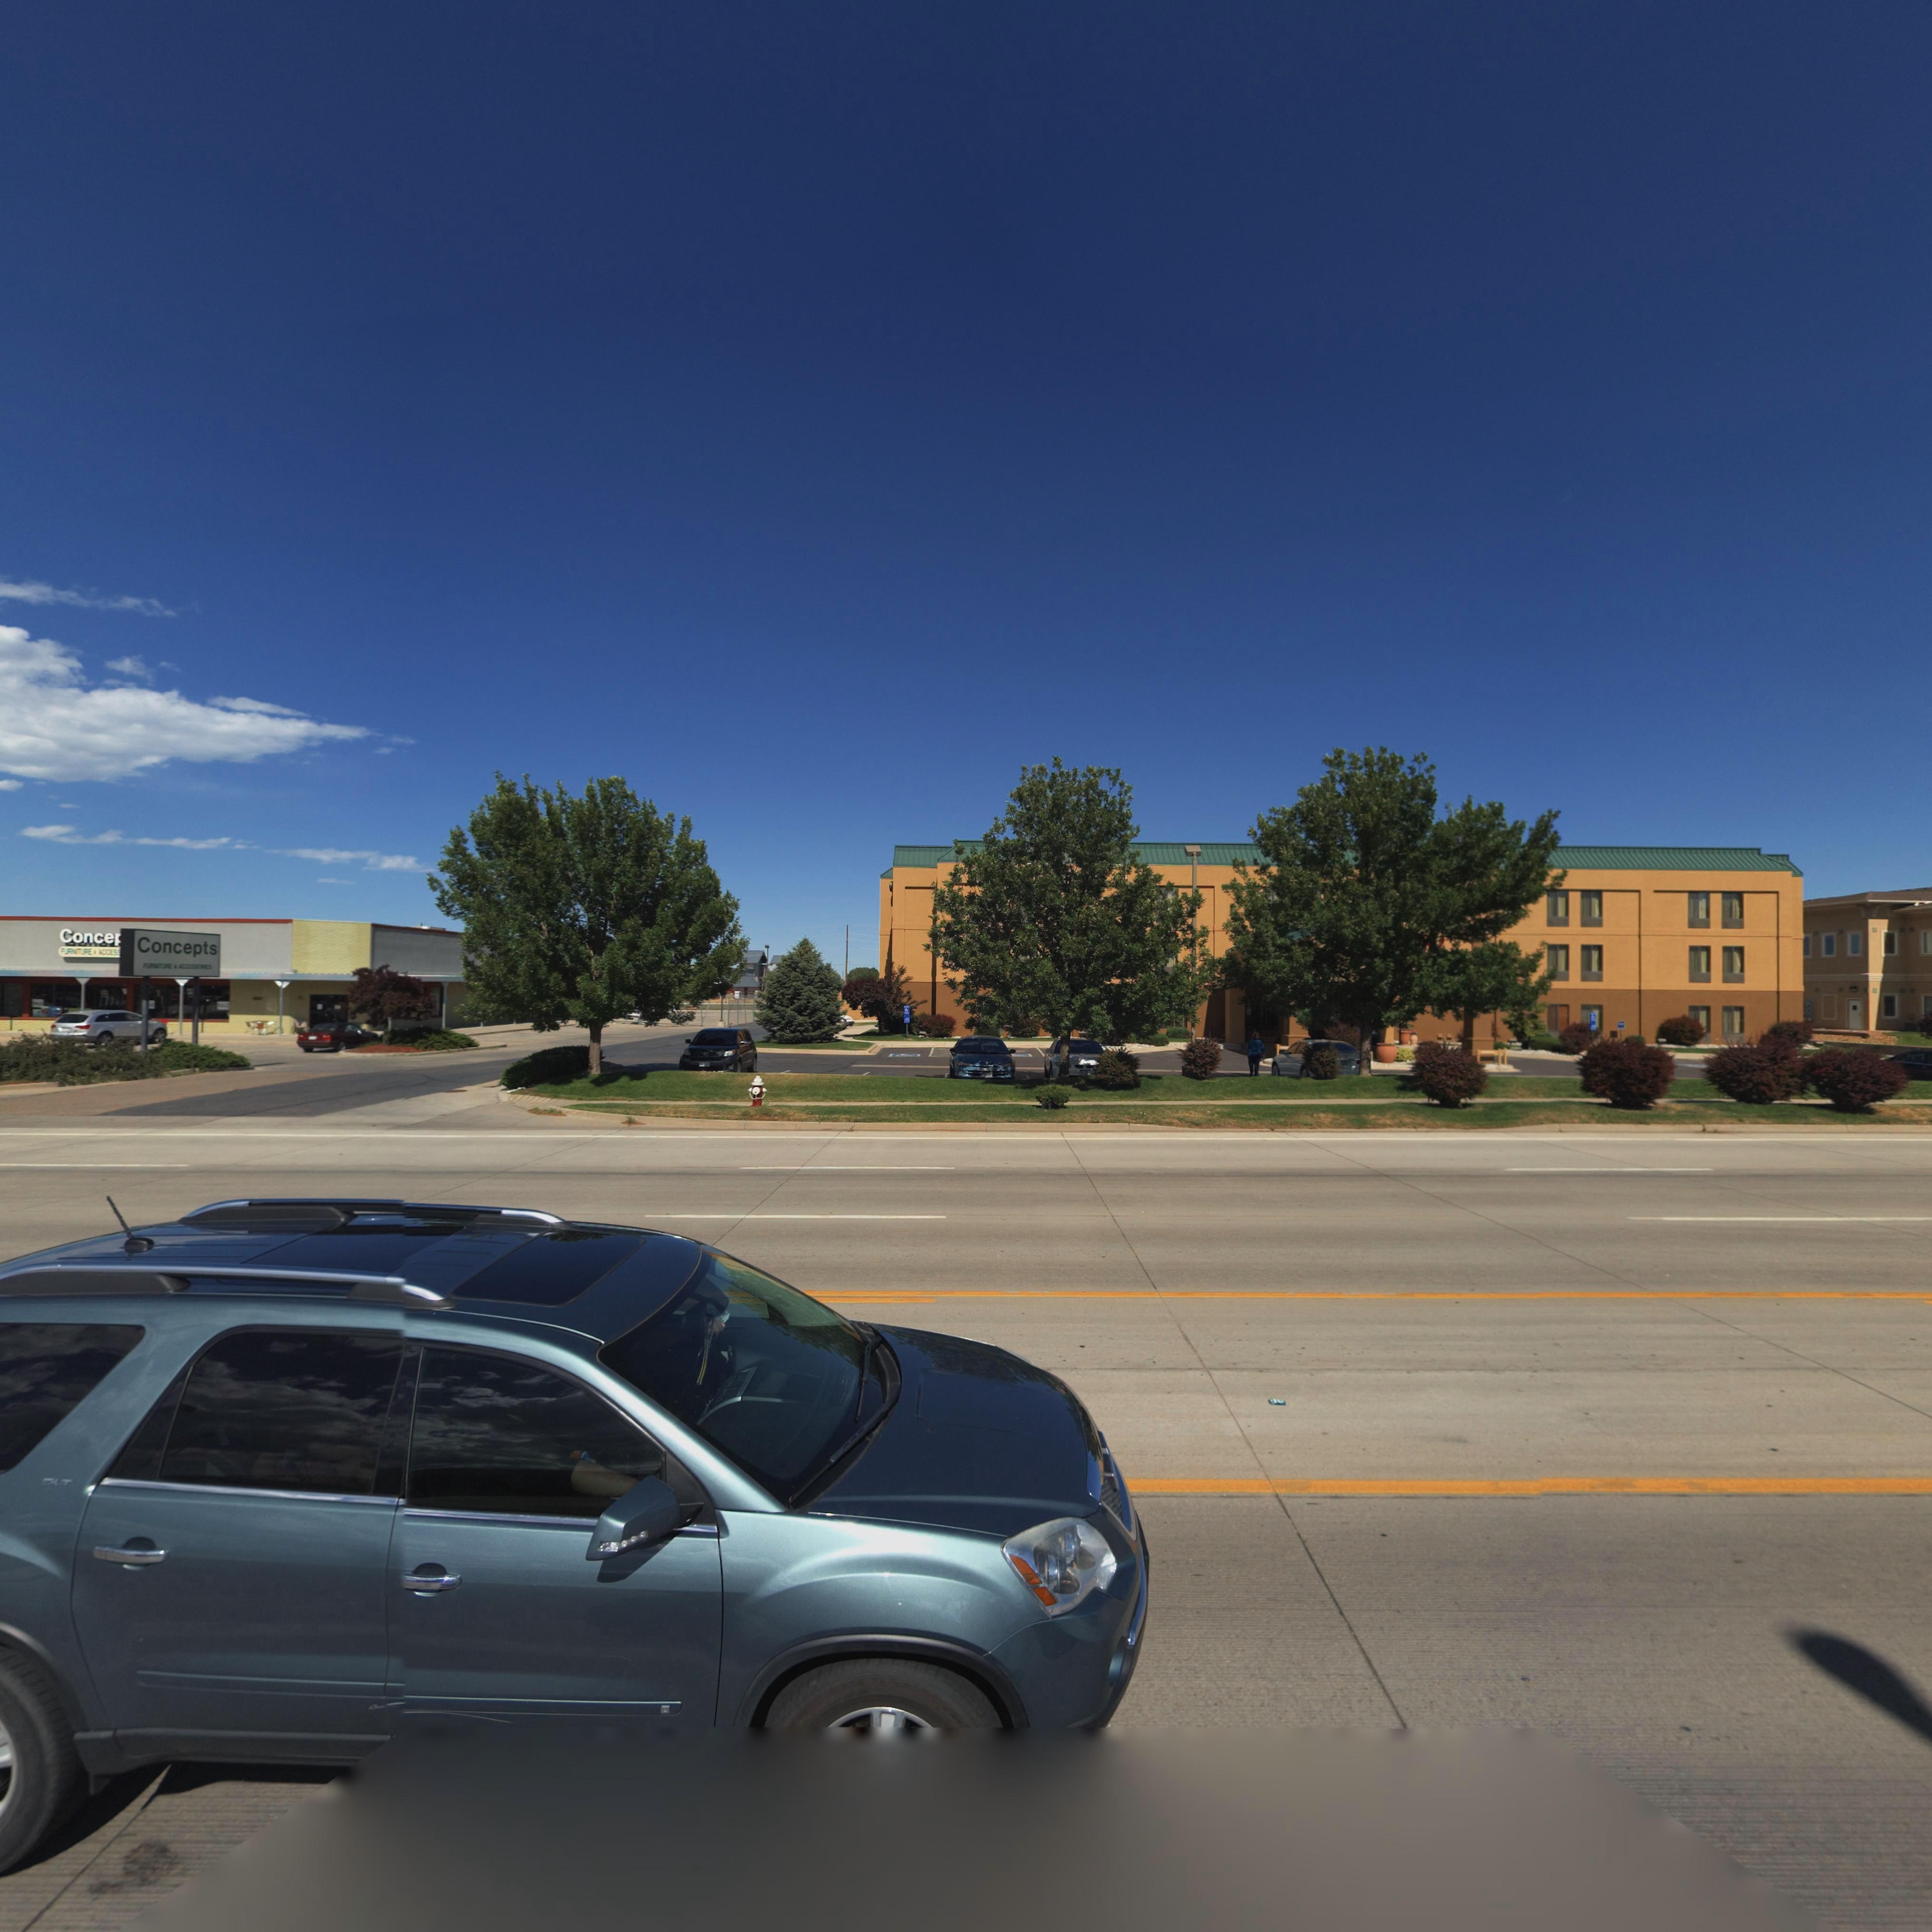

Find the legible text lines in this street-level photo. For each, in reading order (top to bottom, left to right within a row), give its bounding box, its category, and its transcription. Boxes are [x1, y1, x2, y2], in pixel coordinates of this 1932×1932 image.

[58, 927, 133, 947] BusinessName: Conce***
[135, 935, 218, 957] BusinessName: Concepts
[59, 947, 133, 956] BusinessName: FUR**TURE * ACCES******
[142, 962, 212, 970] BusinessName: FURN**URE * ACCESS***ES
[252, 995, 263, 1002] StreetNumber: **0